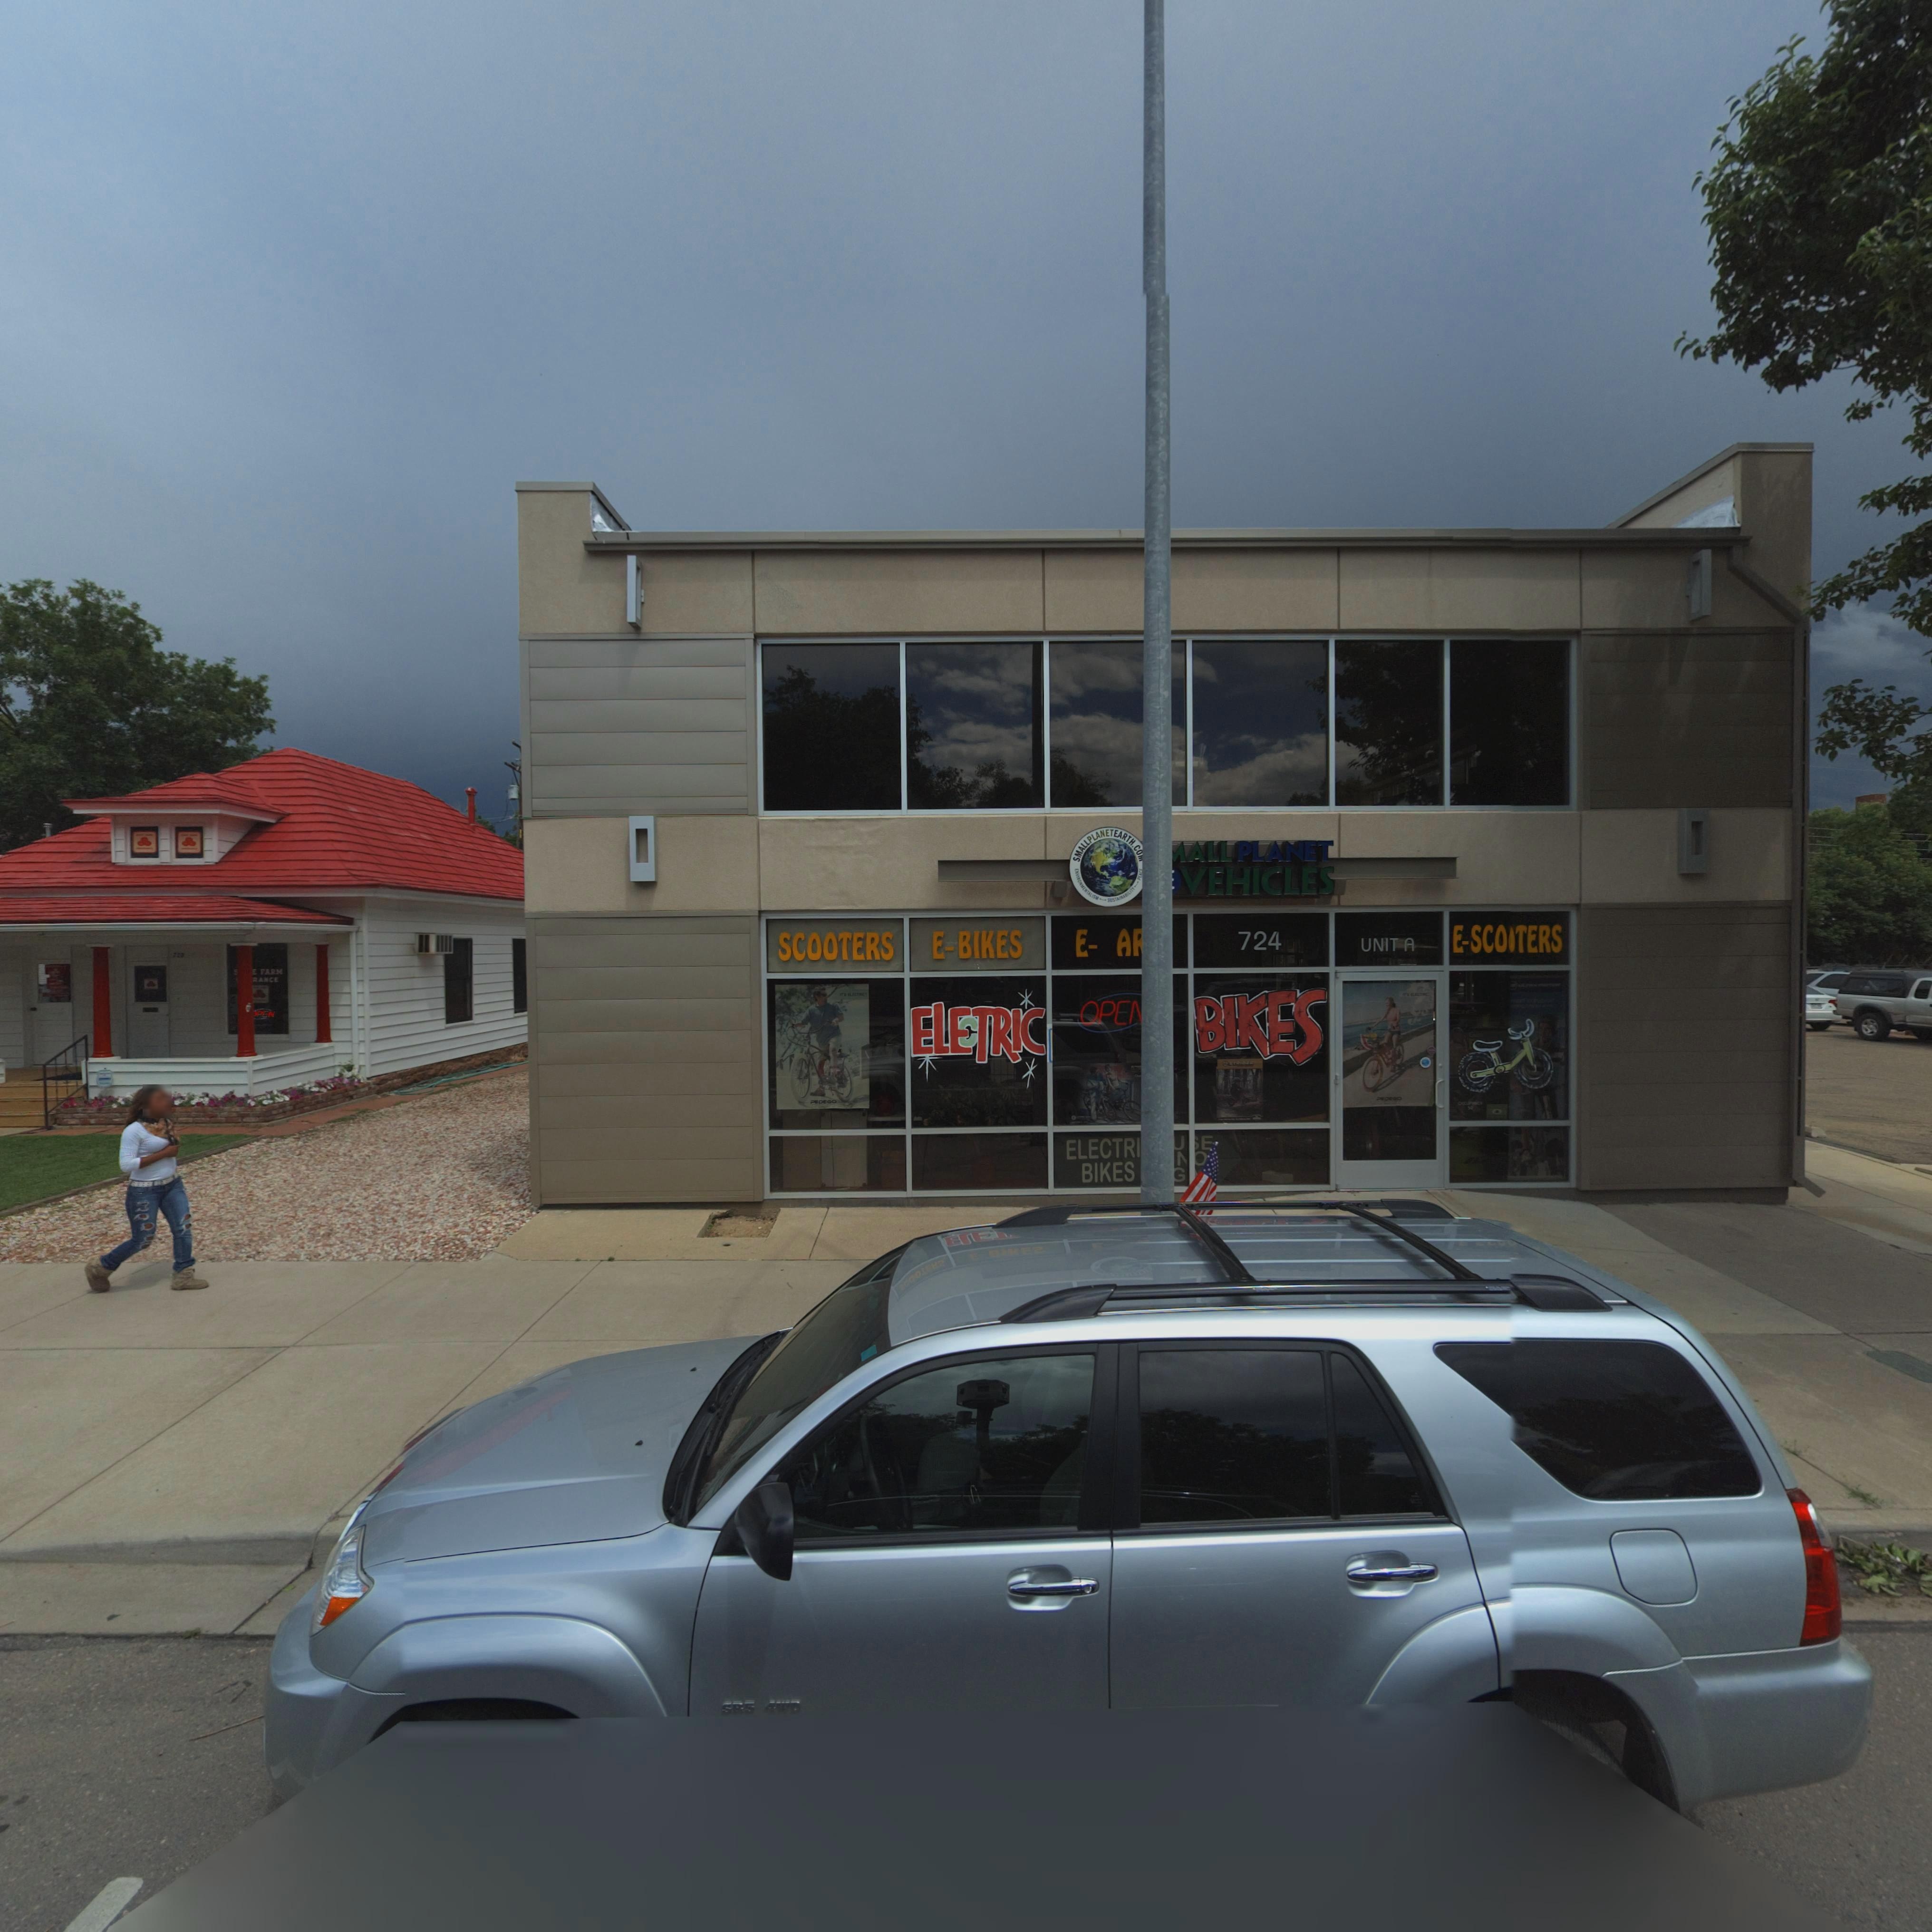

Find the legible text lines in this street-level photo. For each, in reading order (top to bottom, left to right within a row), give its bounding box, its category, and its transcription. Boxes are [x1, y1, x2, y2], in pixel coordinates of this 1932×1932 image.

[1186, 840, 1334, 861] BusinessName: ALL PLANET
[1179, 866, 1334, 896] BusinessName: VEHICLES
[1238, 931, 1282, 950] StreetNumber: 724
[1361, 938, 1414, 952] SecondaryUnitDesignator: UNIT A
[172, 952, 184, 957] StreetNumber: 720
[261, 968, 282, 975] BusinessName: FARM